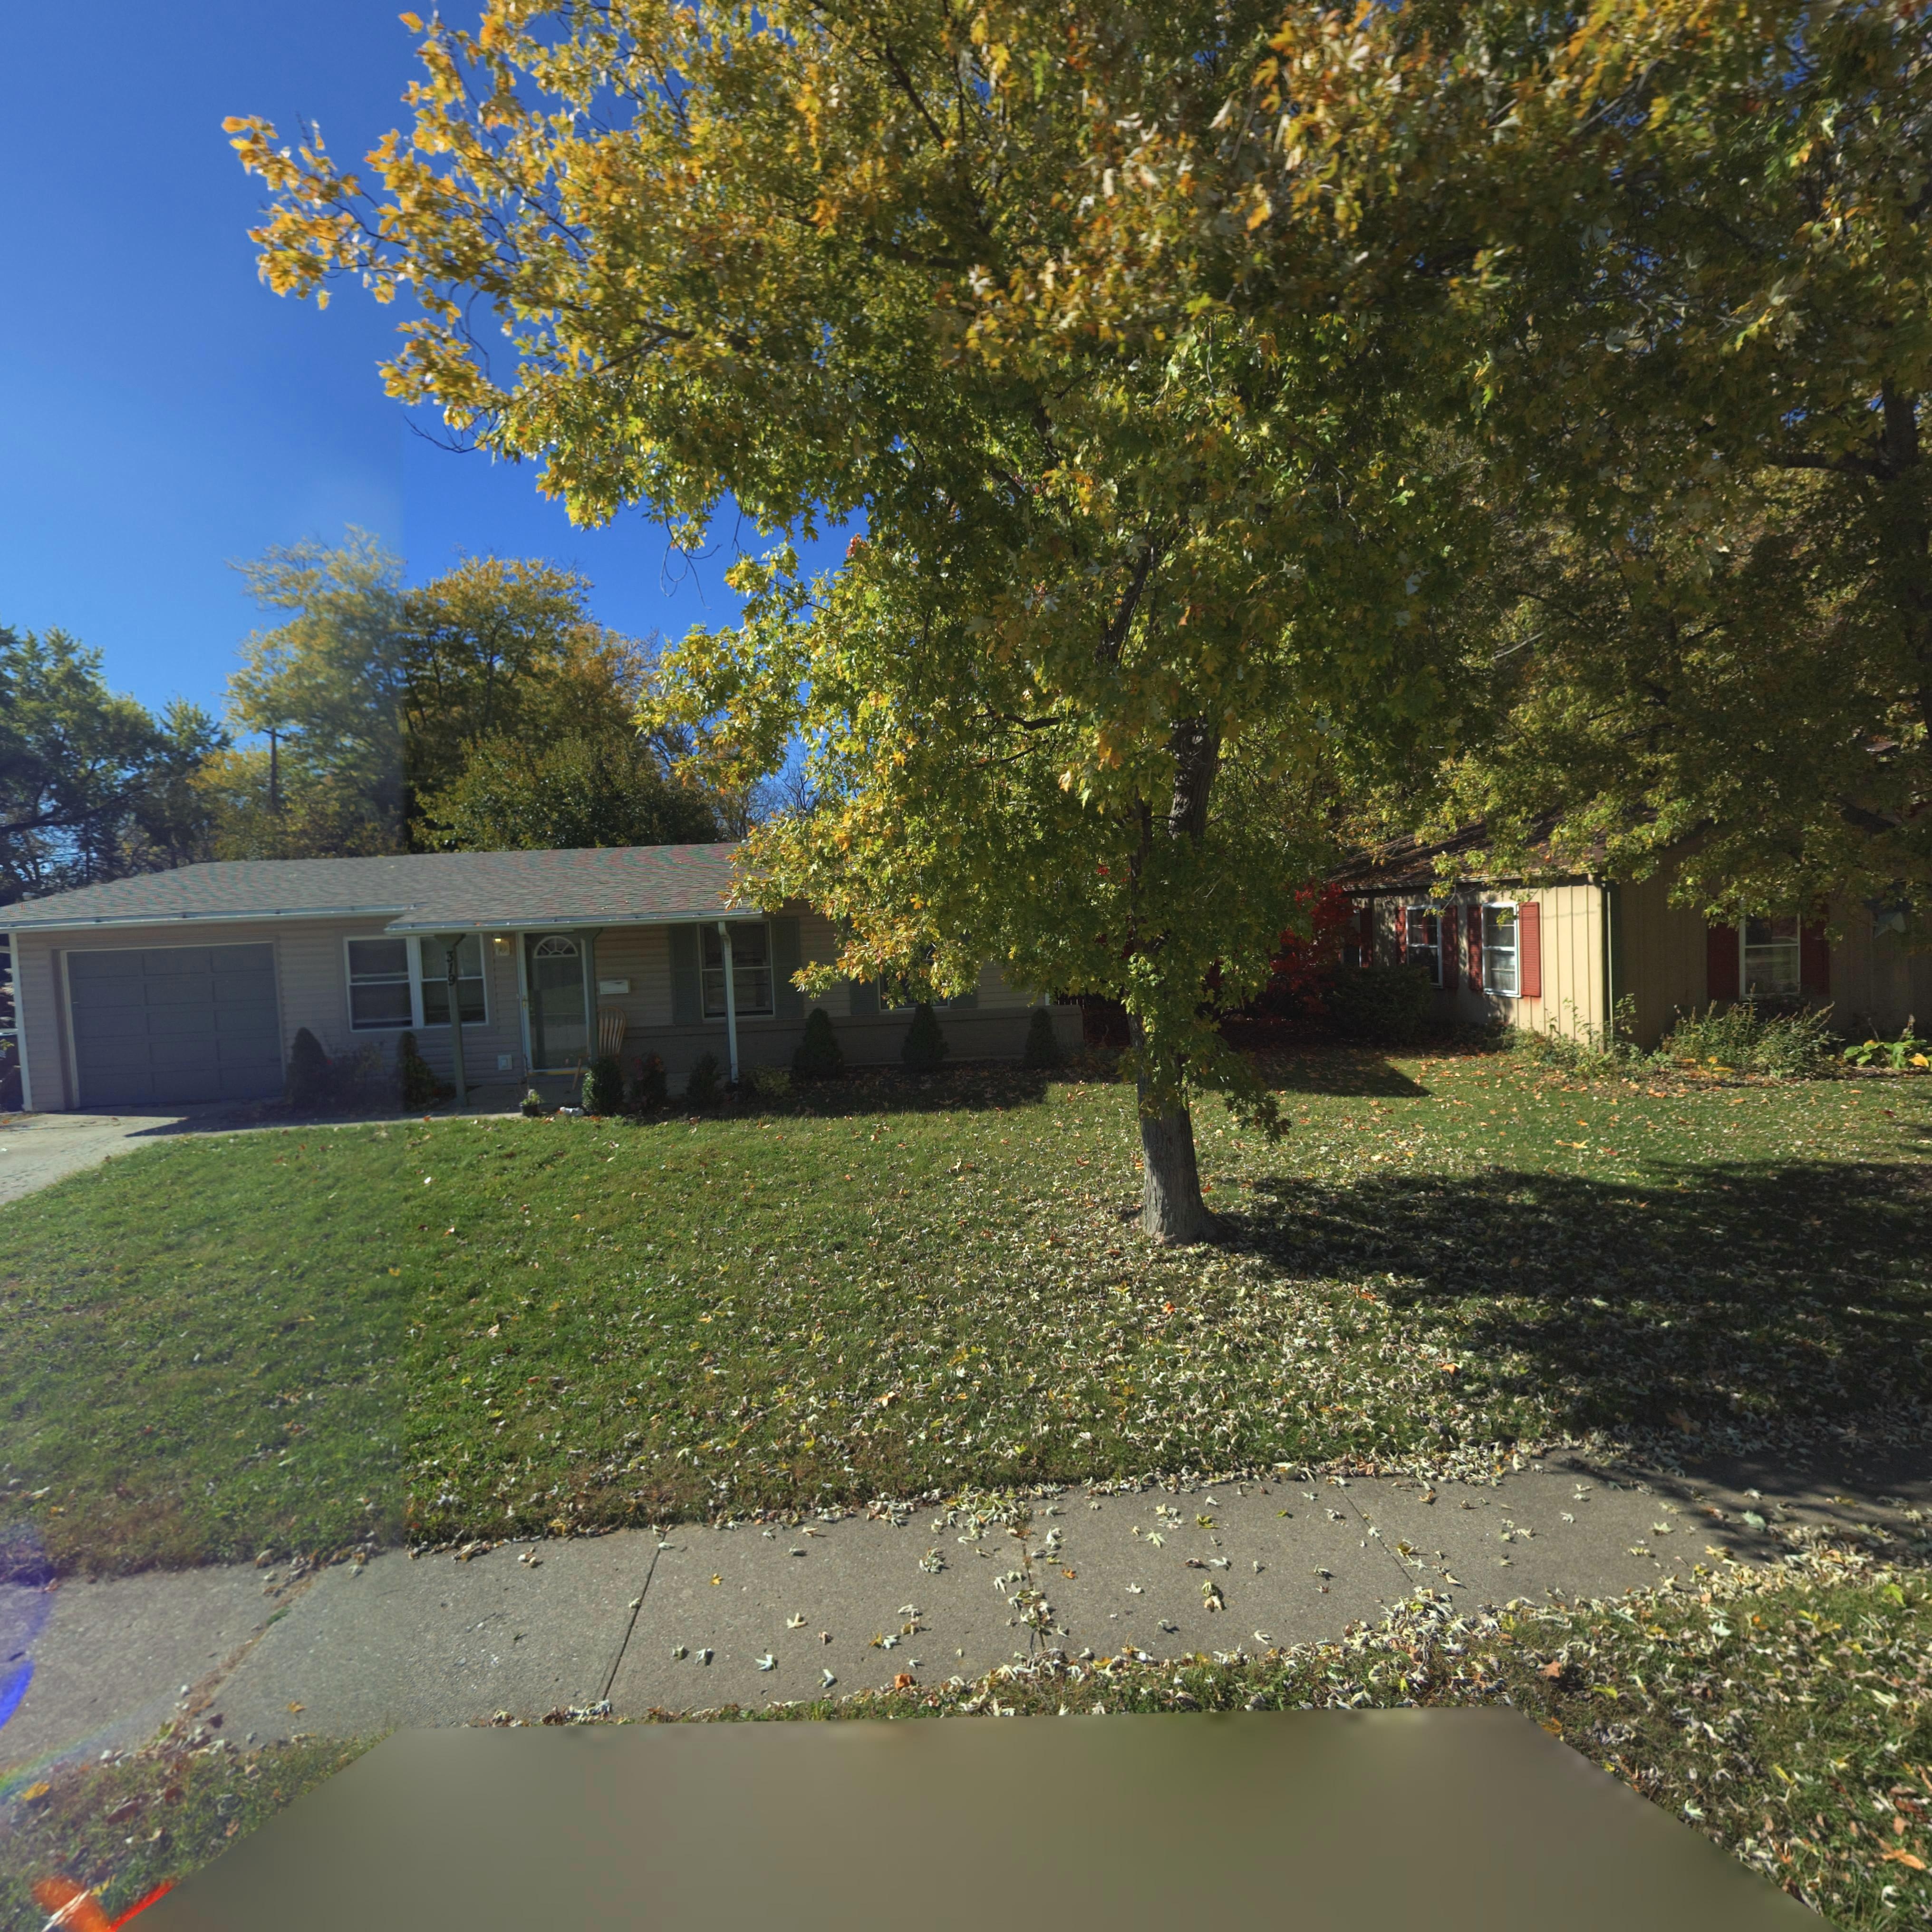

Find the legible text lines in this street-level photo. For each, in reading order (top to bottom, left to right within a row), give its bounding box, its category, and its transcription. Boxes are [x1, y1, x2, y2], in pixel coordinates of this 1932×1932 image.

[445, 950, 457, 987] StreetNumber: 319